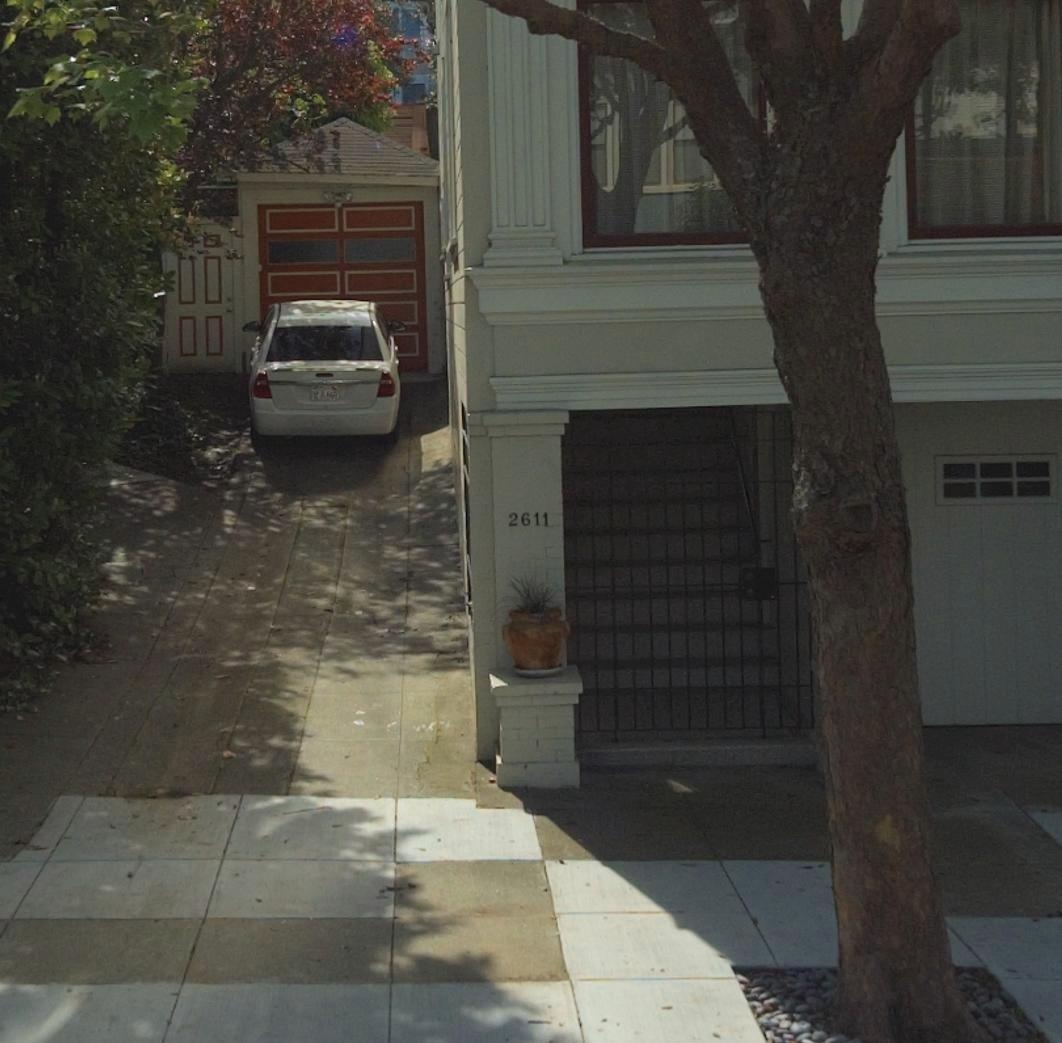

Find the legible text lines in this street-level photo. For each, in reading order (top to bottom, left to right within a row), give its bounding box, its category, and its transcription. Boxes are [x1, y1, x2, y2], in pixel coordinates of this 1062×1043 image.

[506, 509, 550, 529] StreetNumber: 2611